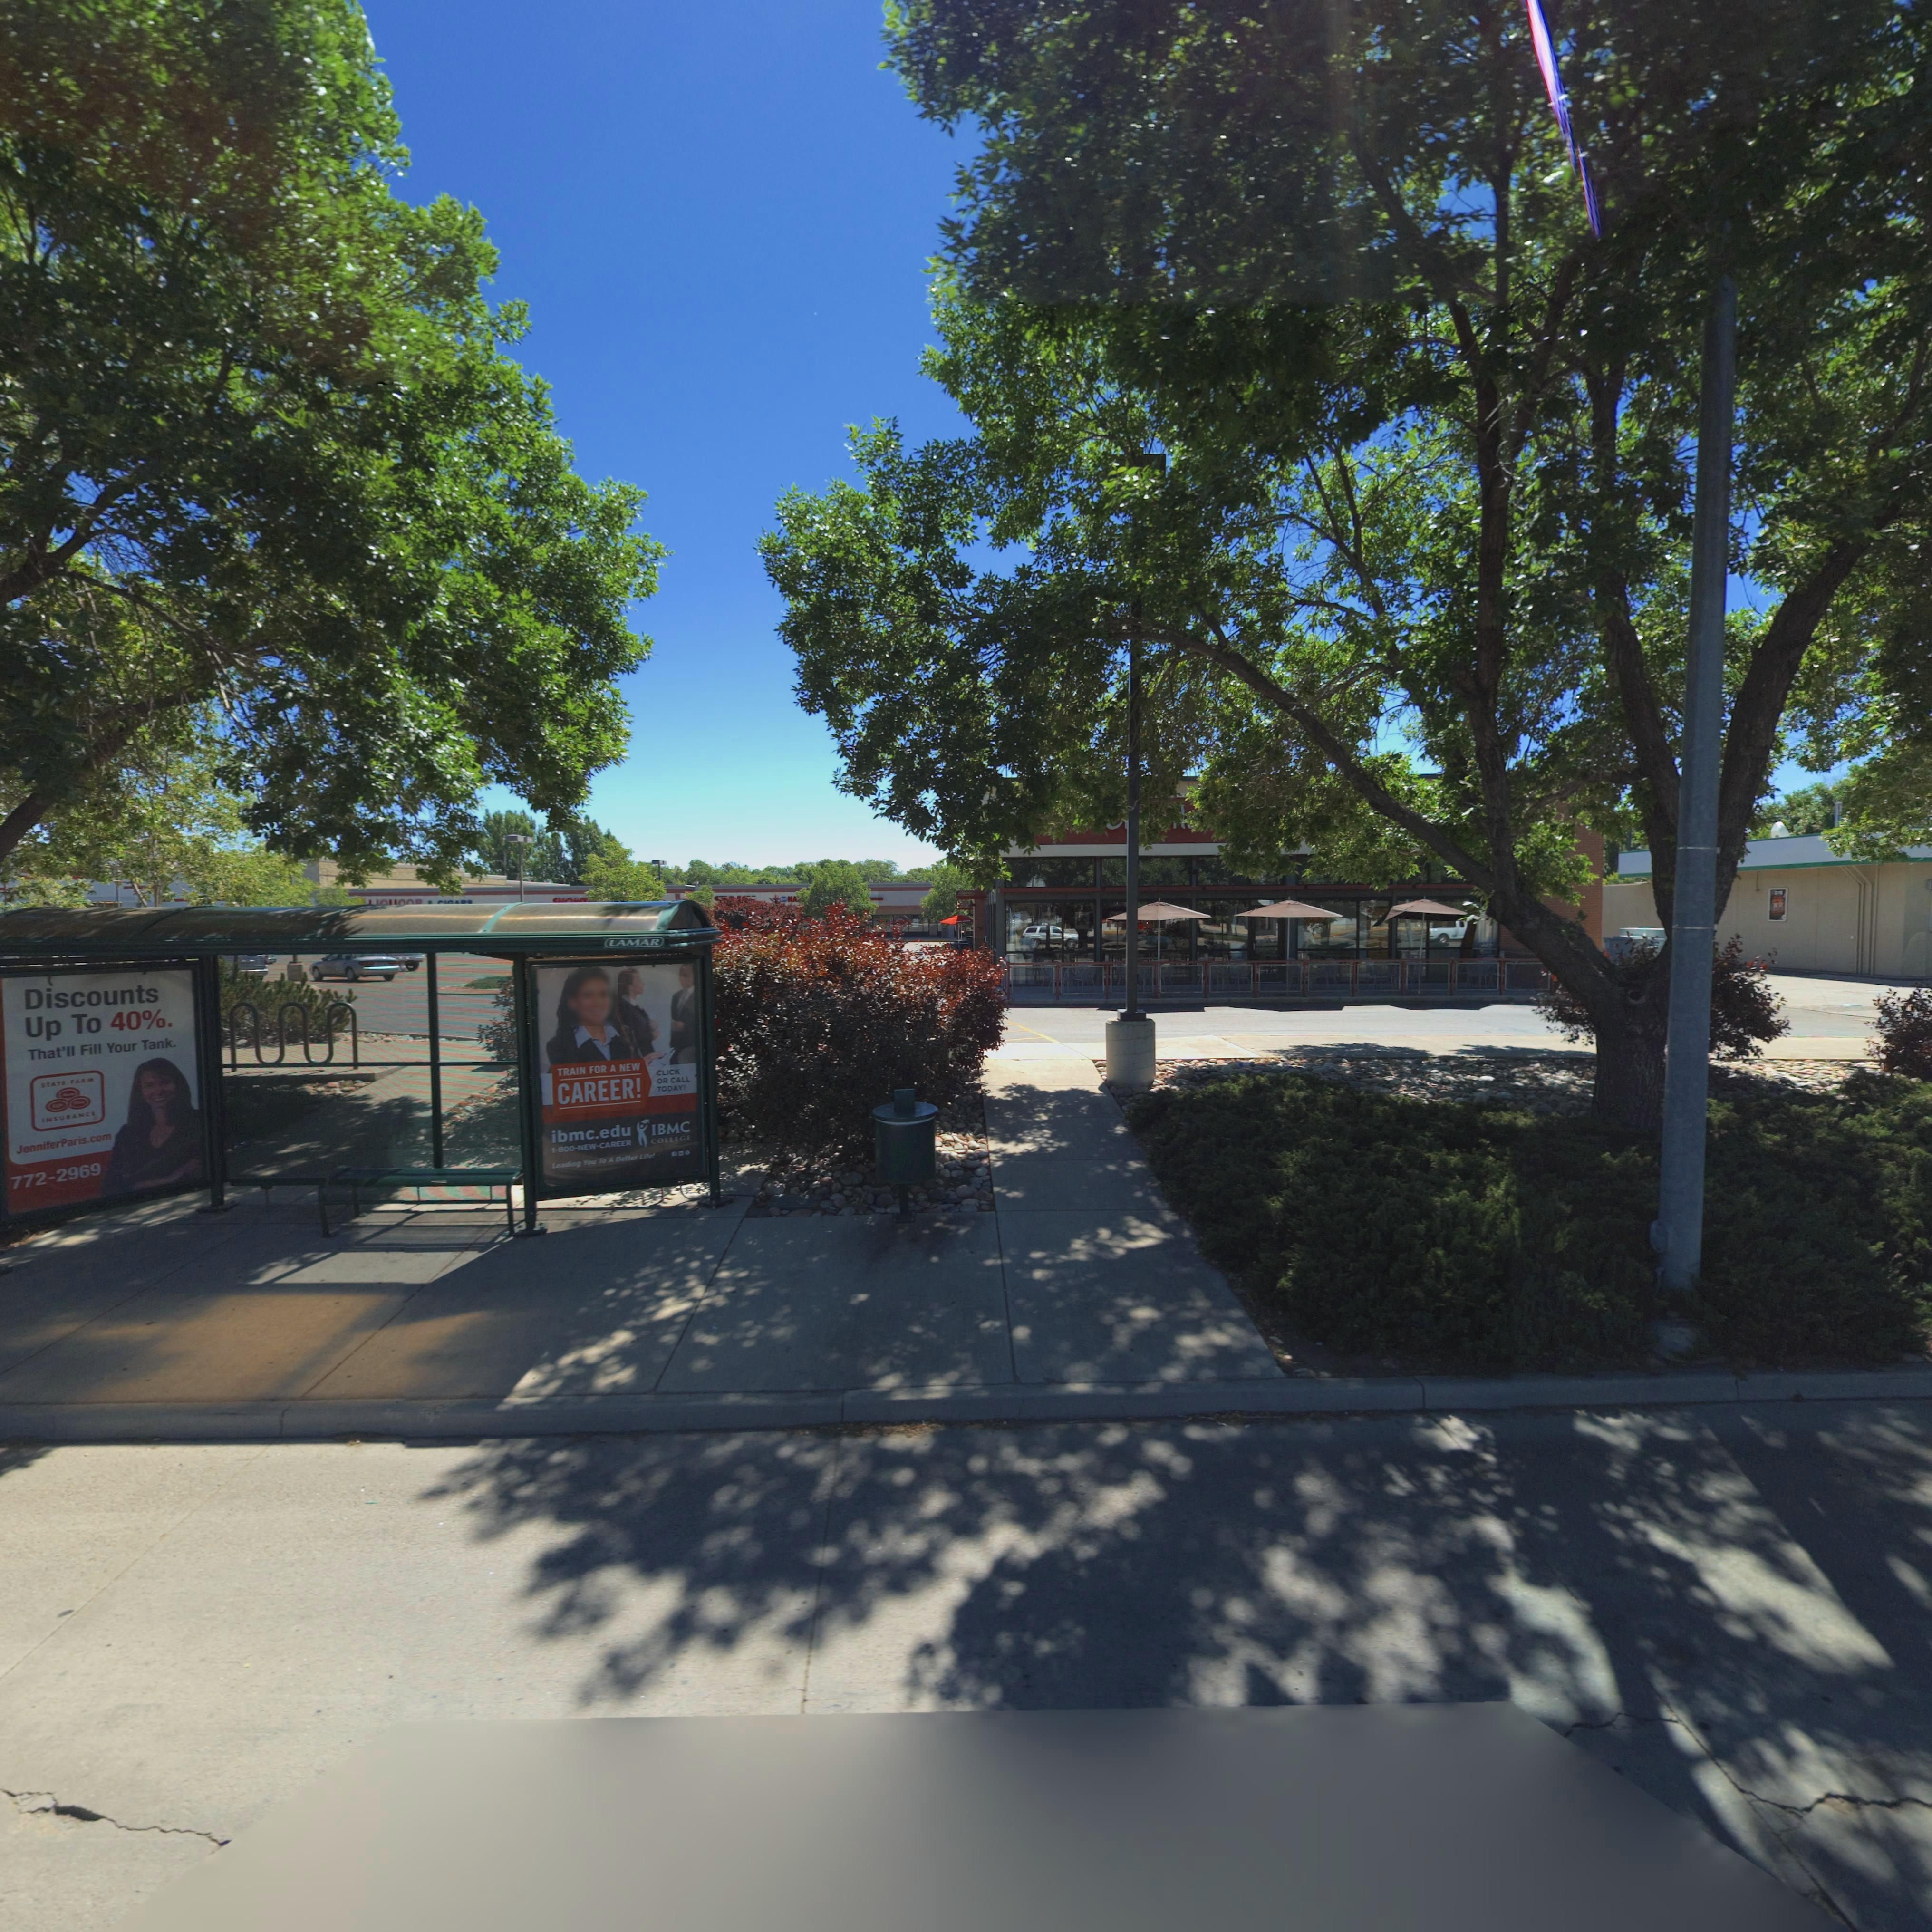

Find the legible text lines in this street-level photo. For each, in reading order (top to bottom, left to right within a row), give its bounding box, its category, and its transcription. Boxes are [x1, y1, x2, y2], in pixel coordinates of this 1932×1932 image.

[714, 896, 728, 901] BusinessName: G